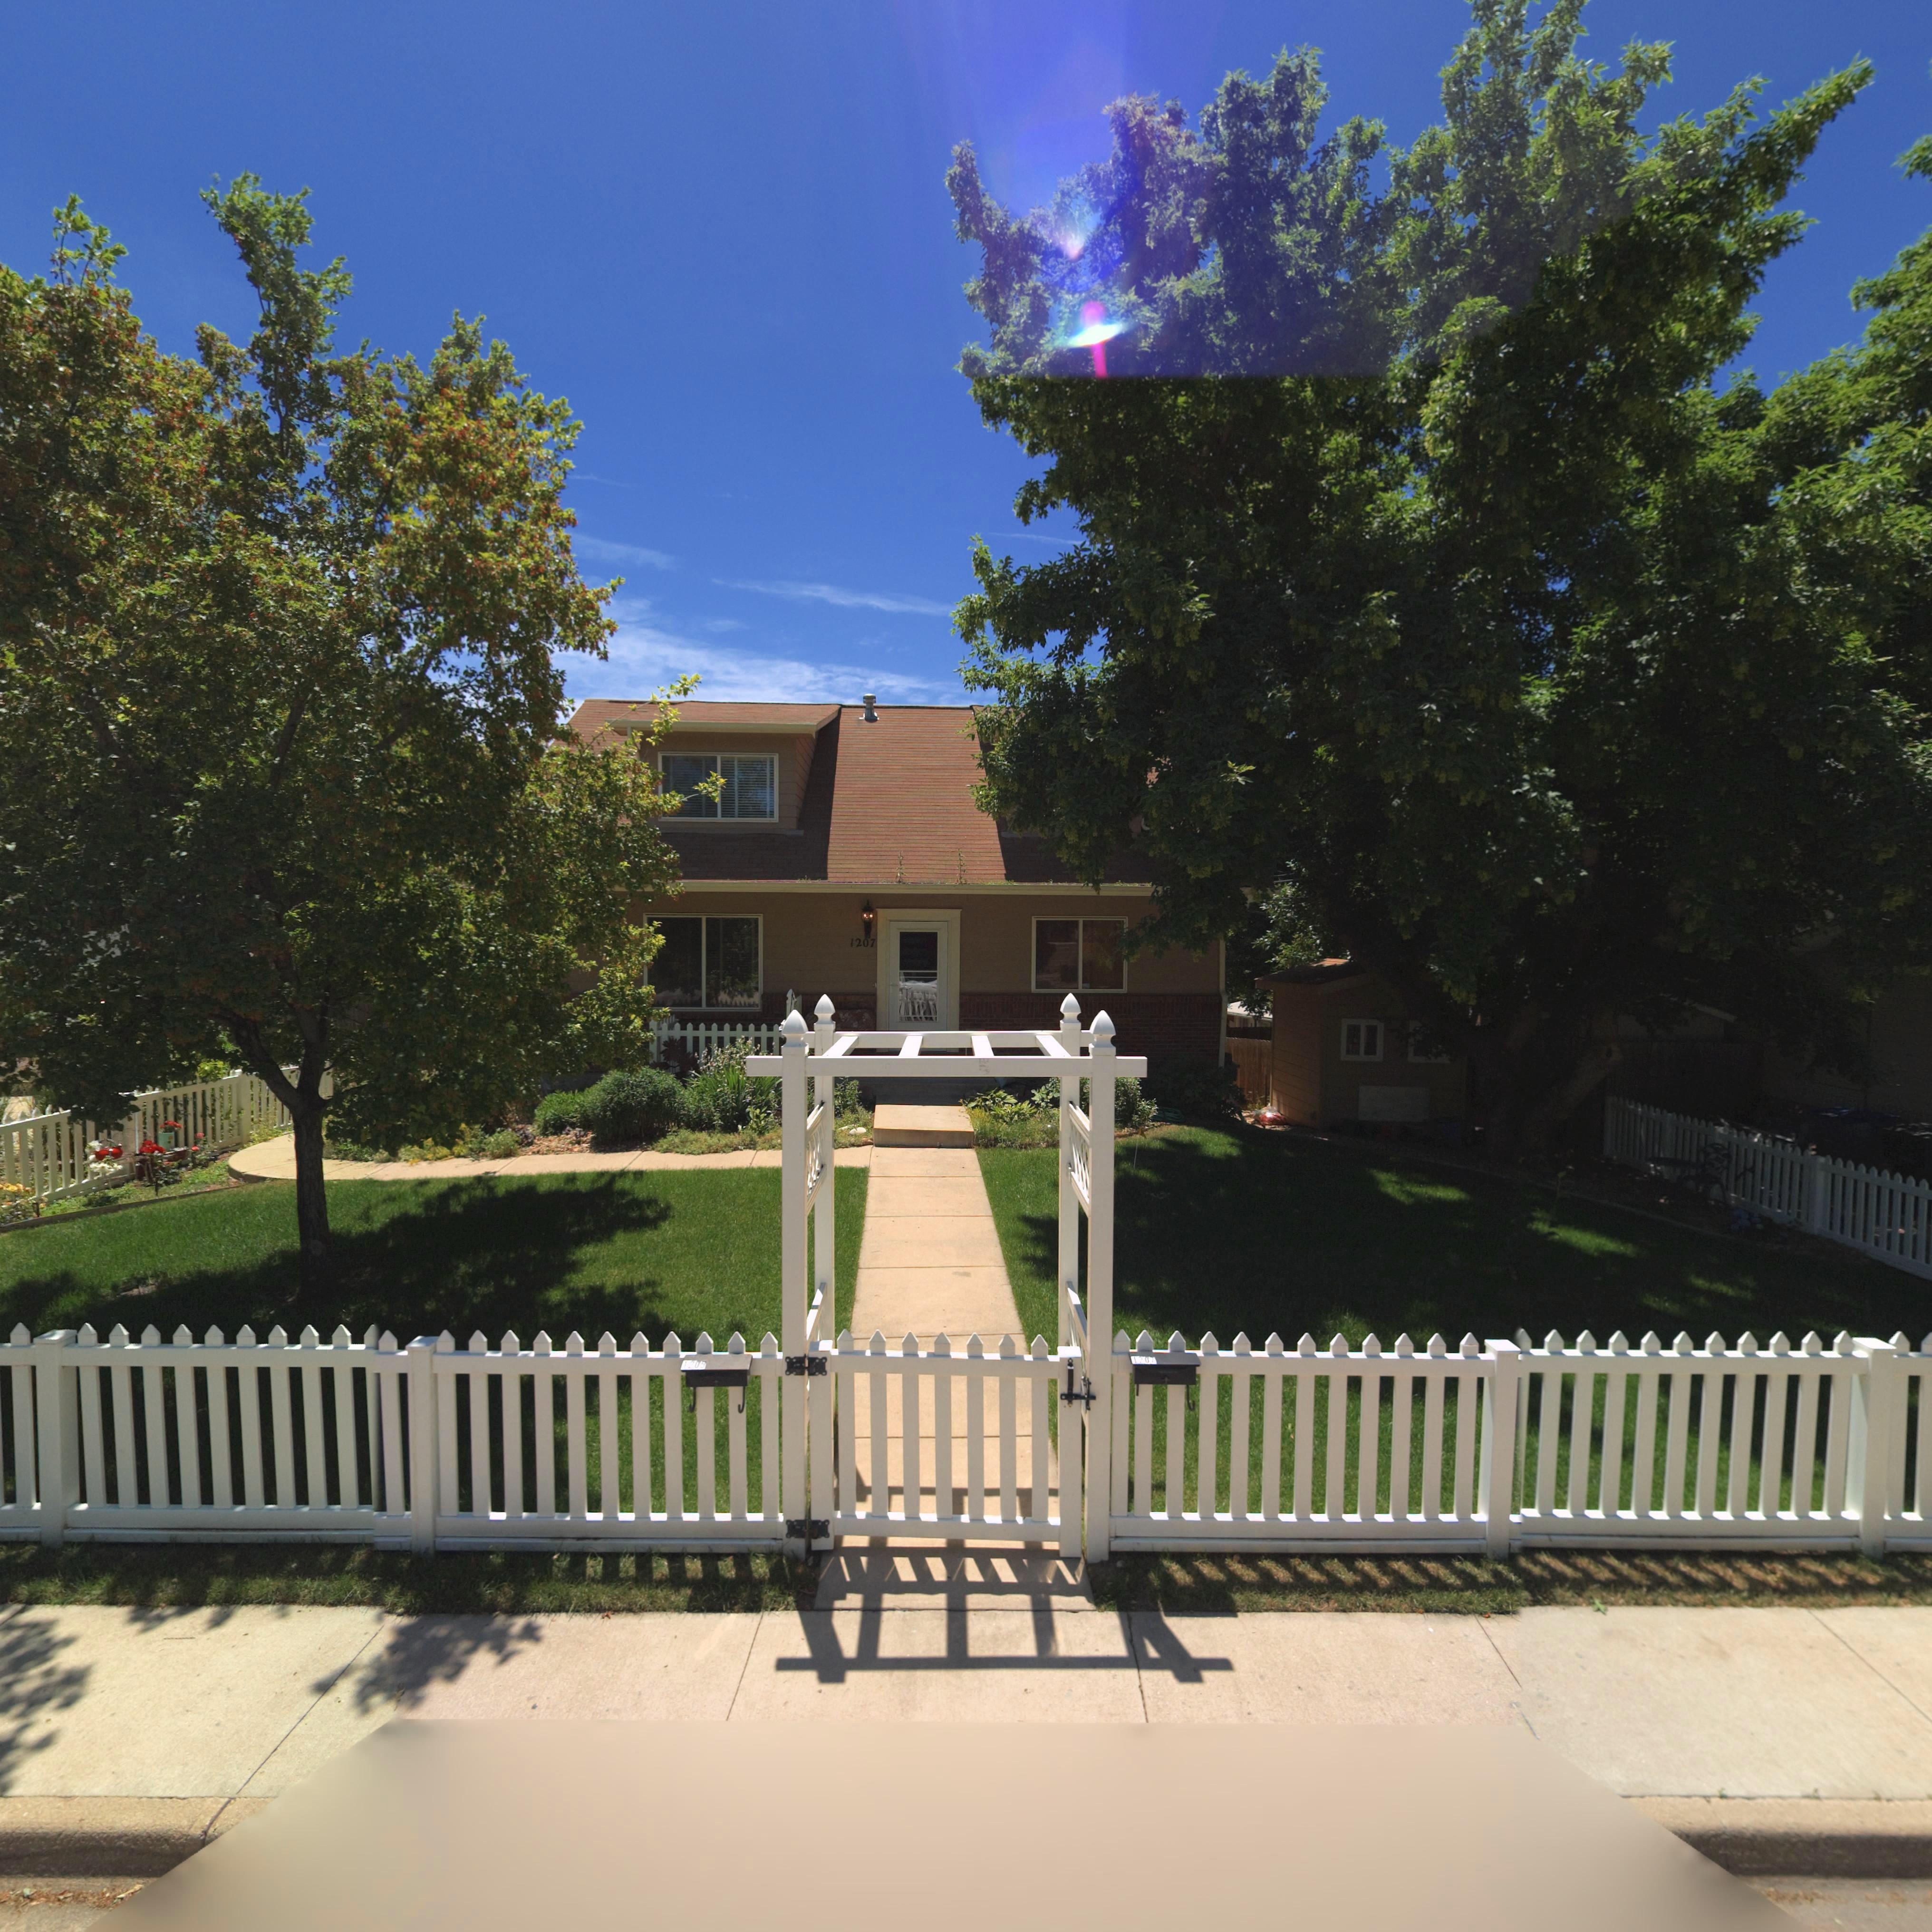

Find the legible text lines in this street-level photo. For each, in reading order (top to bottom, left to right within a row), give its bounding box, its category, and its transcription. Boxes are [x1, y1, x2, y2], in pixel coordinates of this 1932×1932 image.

[850, 938, 876, 947] StreetNumber: 1207
[1132, 1356, 1155, 1363] StreetNumber: 1207
[682, 1360, 705, 1369] StreetNumber: 1205